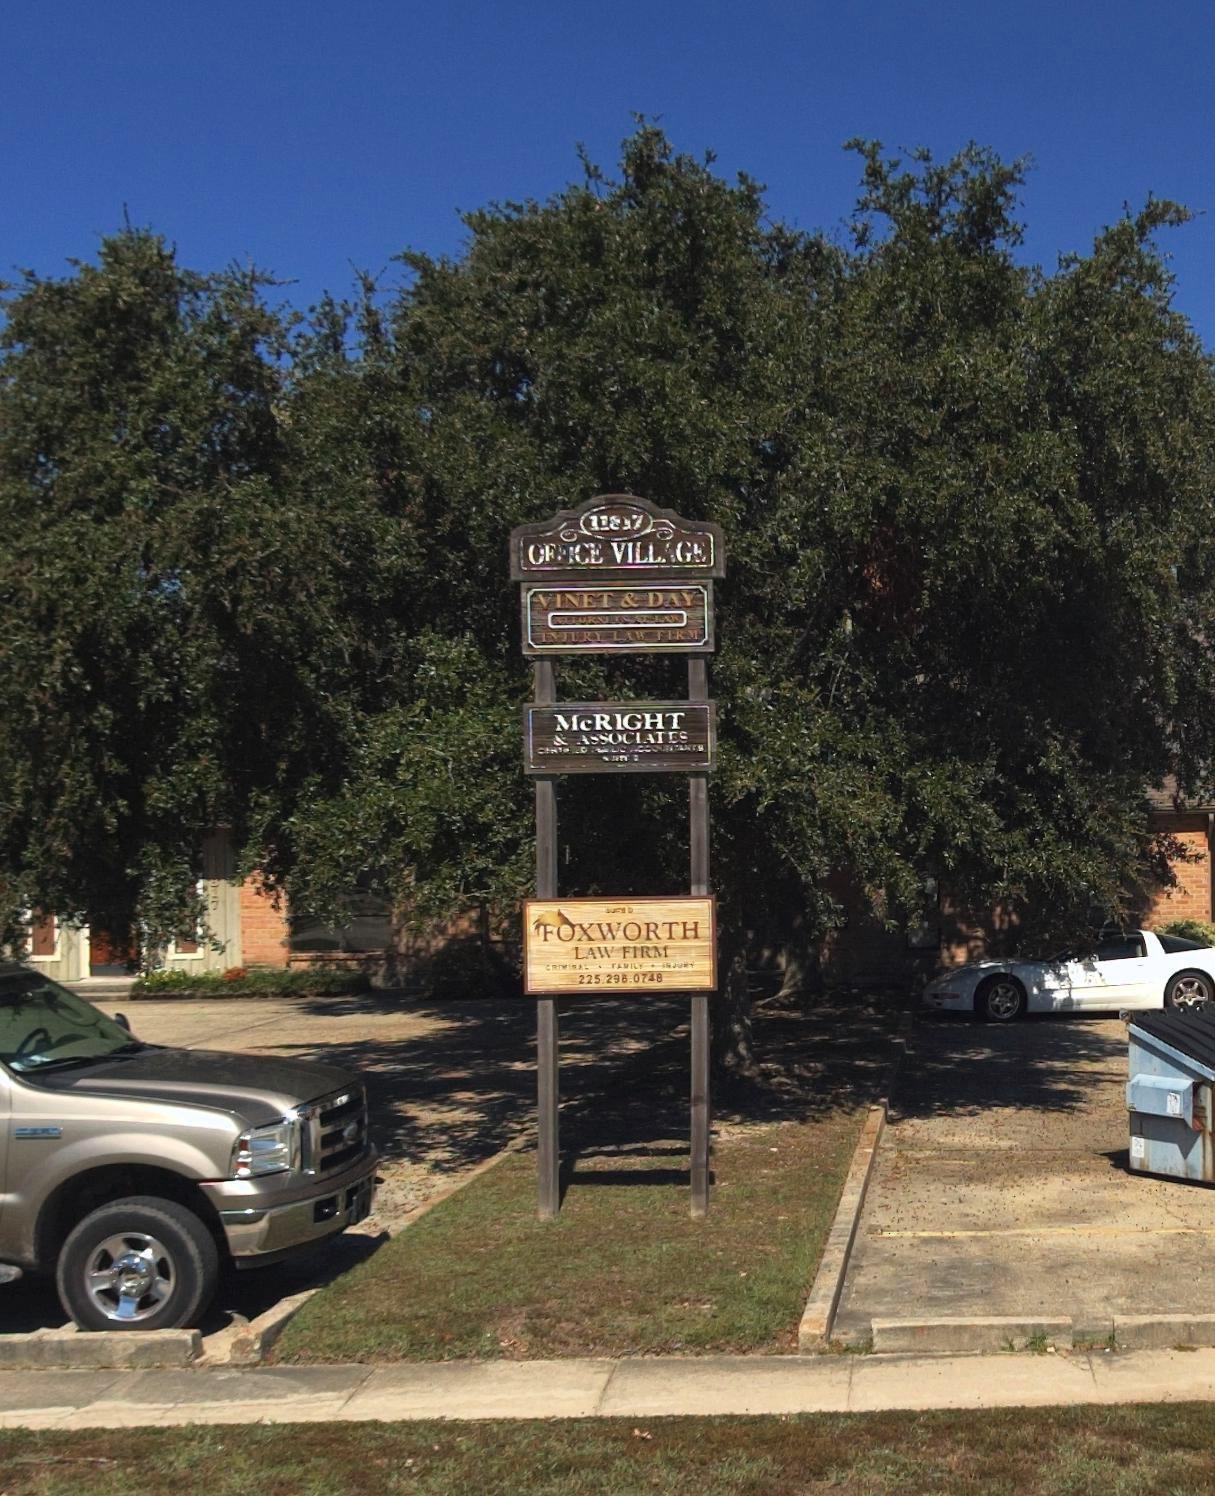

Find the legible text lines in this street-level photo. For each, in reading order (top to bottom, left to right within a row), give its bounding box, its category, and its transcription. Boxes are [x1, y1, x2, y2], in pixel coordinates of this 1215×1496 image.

[585, 511, 648, 533] StreetNumber: ****7
[525, 539, 709, 567] BusinessName: OF*ICE VILL*G*
[533, 588, 699, 610] BusinessName: VINET & DAY
[539, 627, 701, 645] BusinessName: INJURY LAW FIRM
[552, 710, 687, 733] BusinessName: McRIGHT
[571, 728, 691, 748] BusinessName: ASSOCIATES
[539, 918, 705, 944] BusinessName: FOXWORTH
[572, 943, 670, 961] BusinessName: LAW FIRM
[575, 970, 667, 987] None: 225.298.07*8